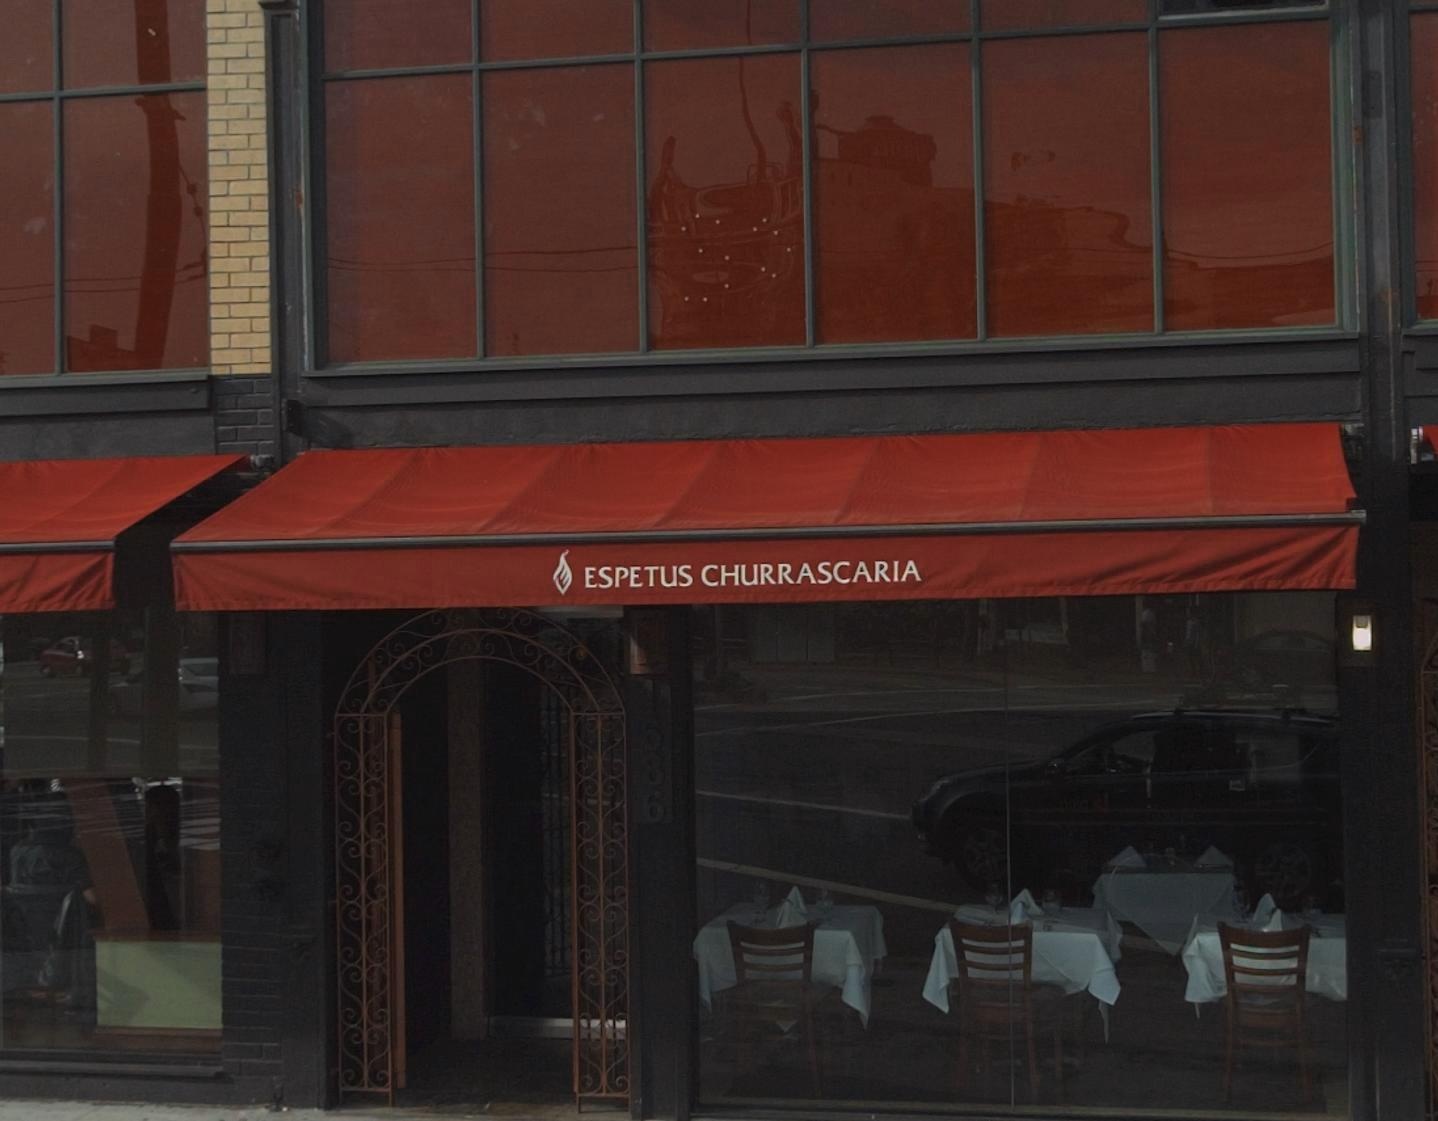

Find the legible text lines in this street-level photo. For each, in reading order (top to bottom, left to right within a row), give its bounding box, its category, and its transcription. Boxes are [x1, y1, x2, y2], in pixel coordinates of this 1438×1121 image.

[582, 557, 926, 591] BusinessName: ESPETUS CHURRASCARIA